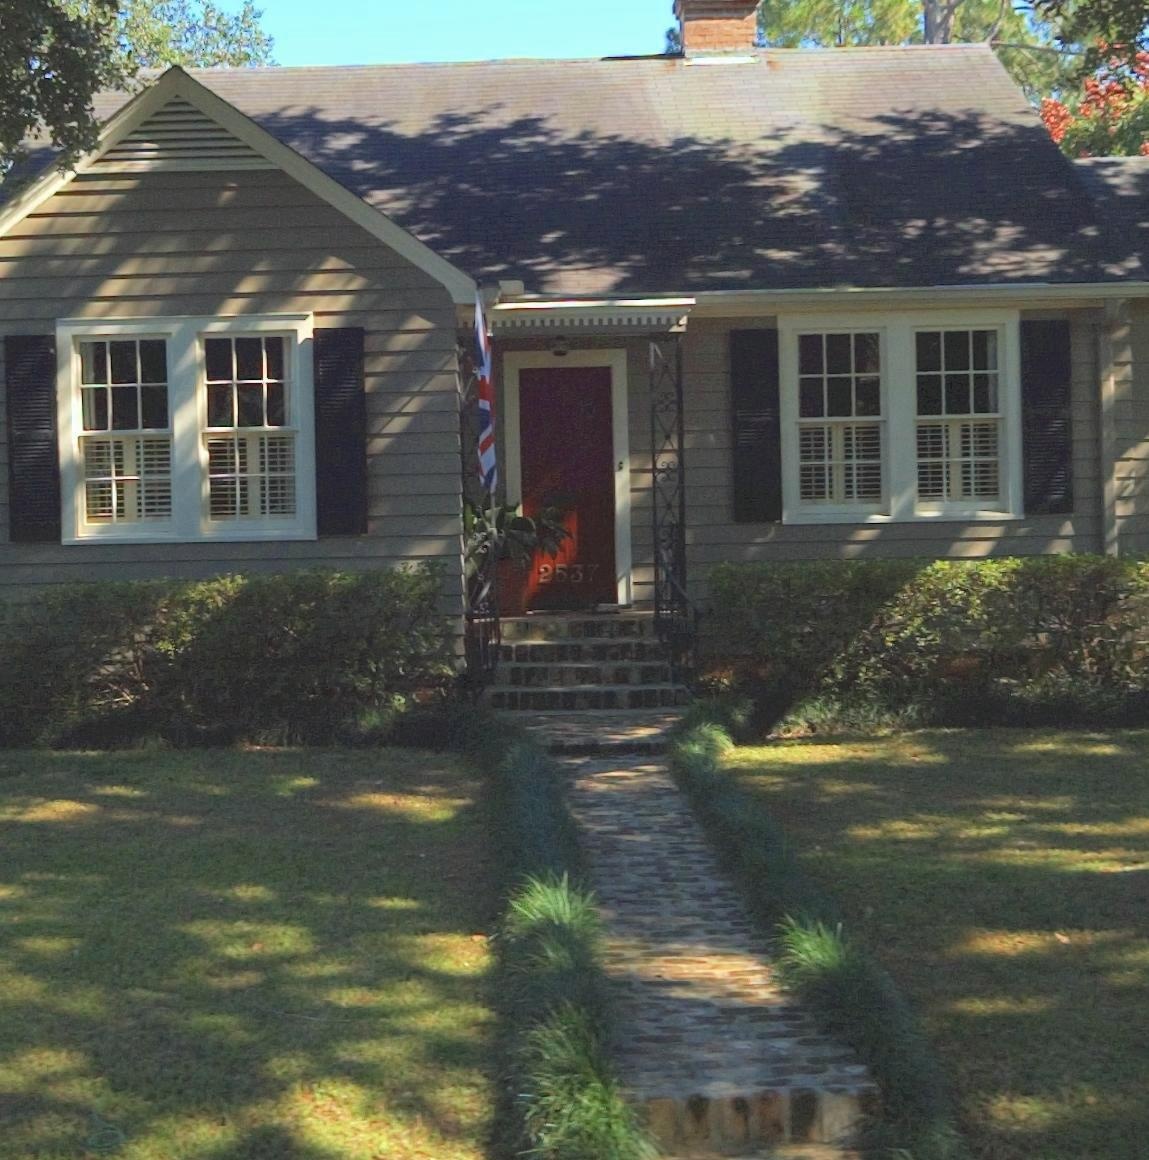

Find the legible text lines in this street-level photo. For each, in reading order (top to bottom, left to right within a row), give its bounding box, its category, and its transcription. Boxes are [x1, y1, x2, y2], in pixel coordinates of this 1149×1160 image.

[537, 561, 603, 586] StreetNumber: 2537